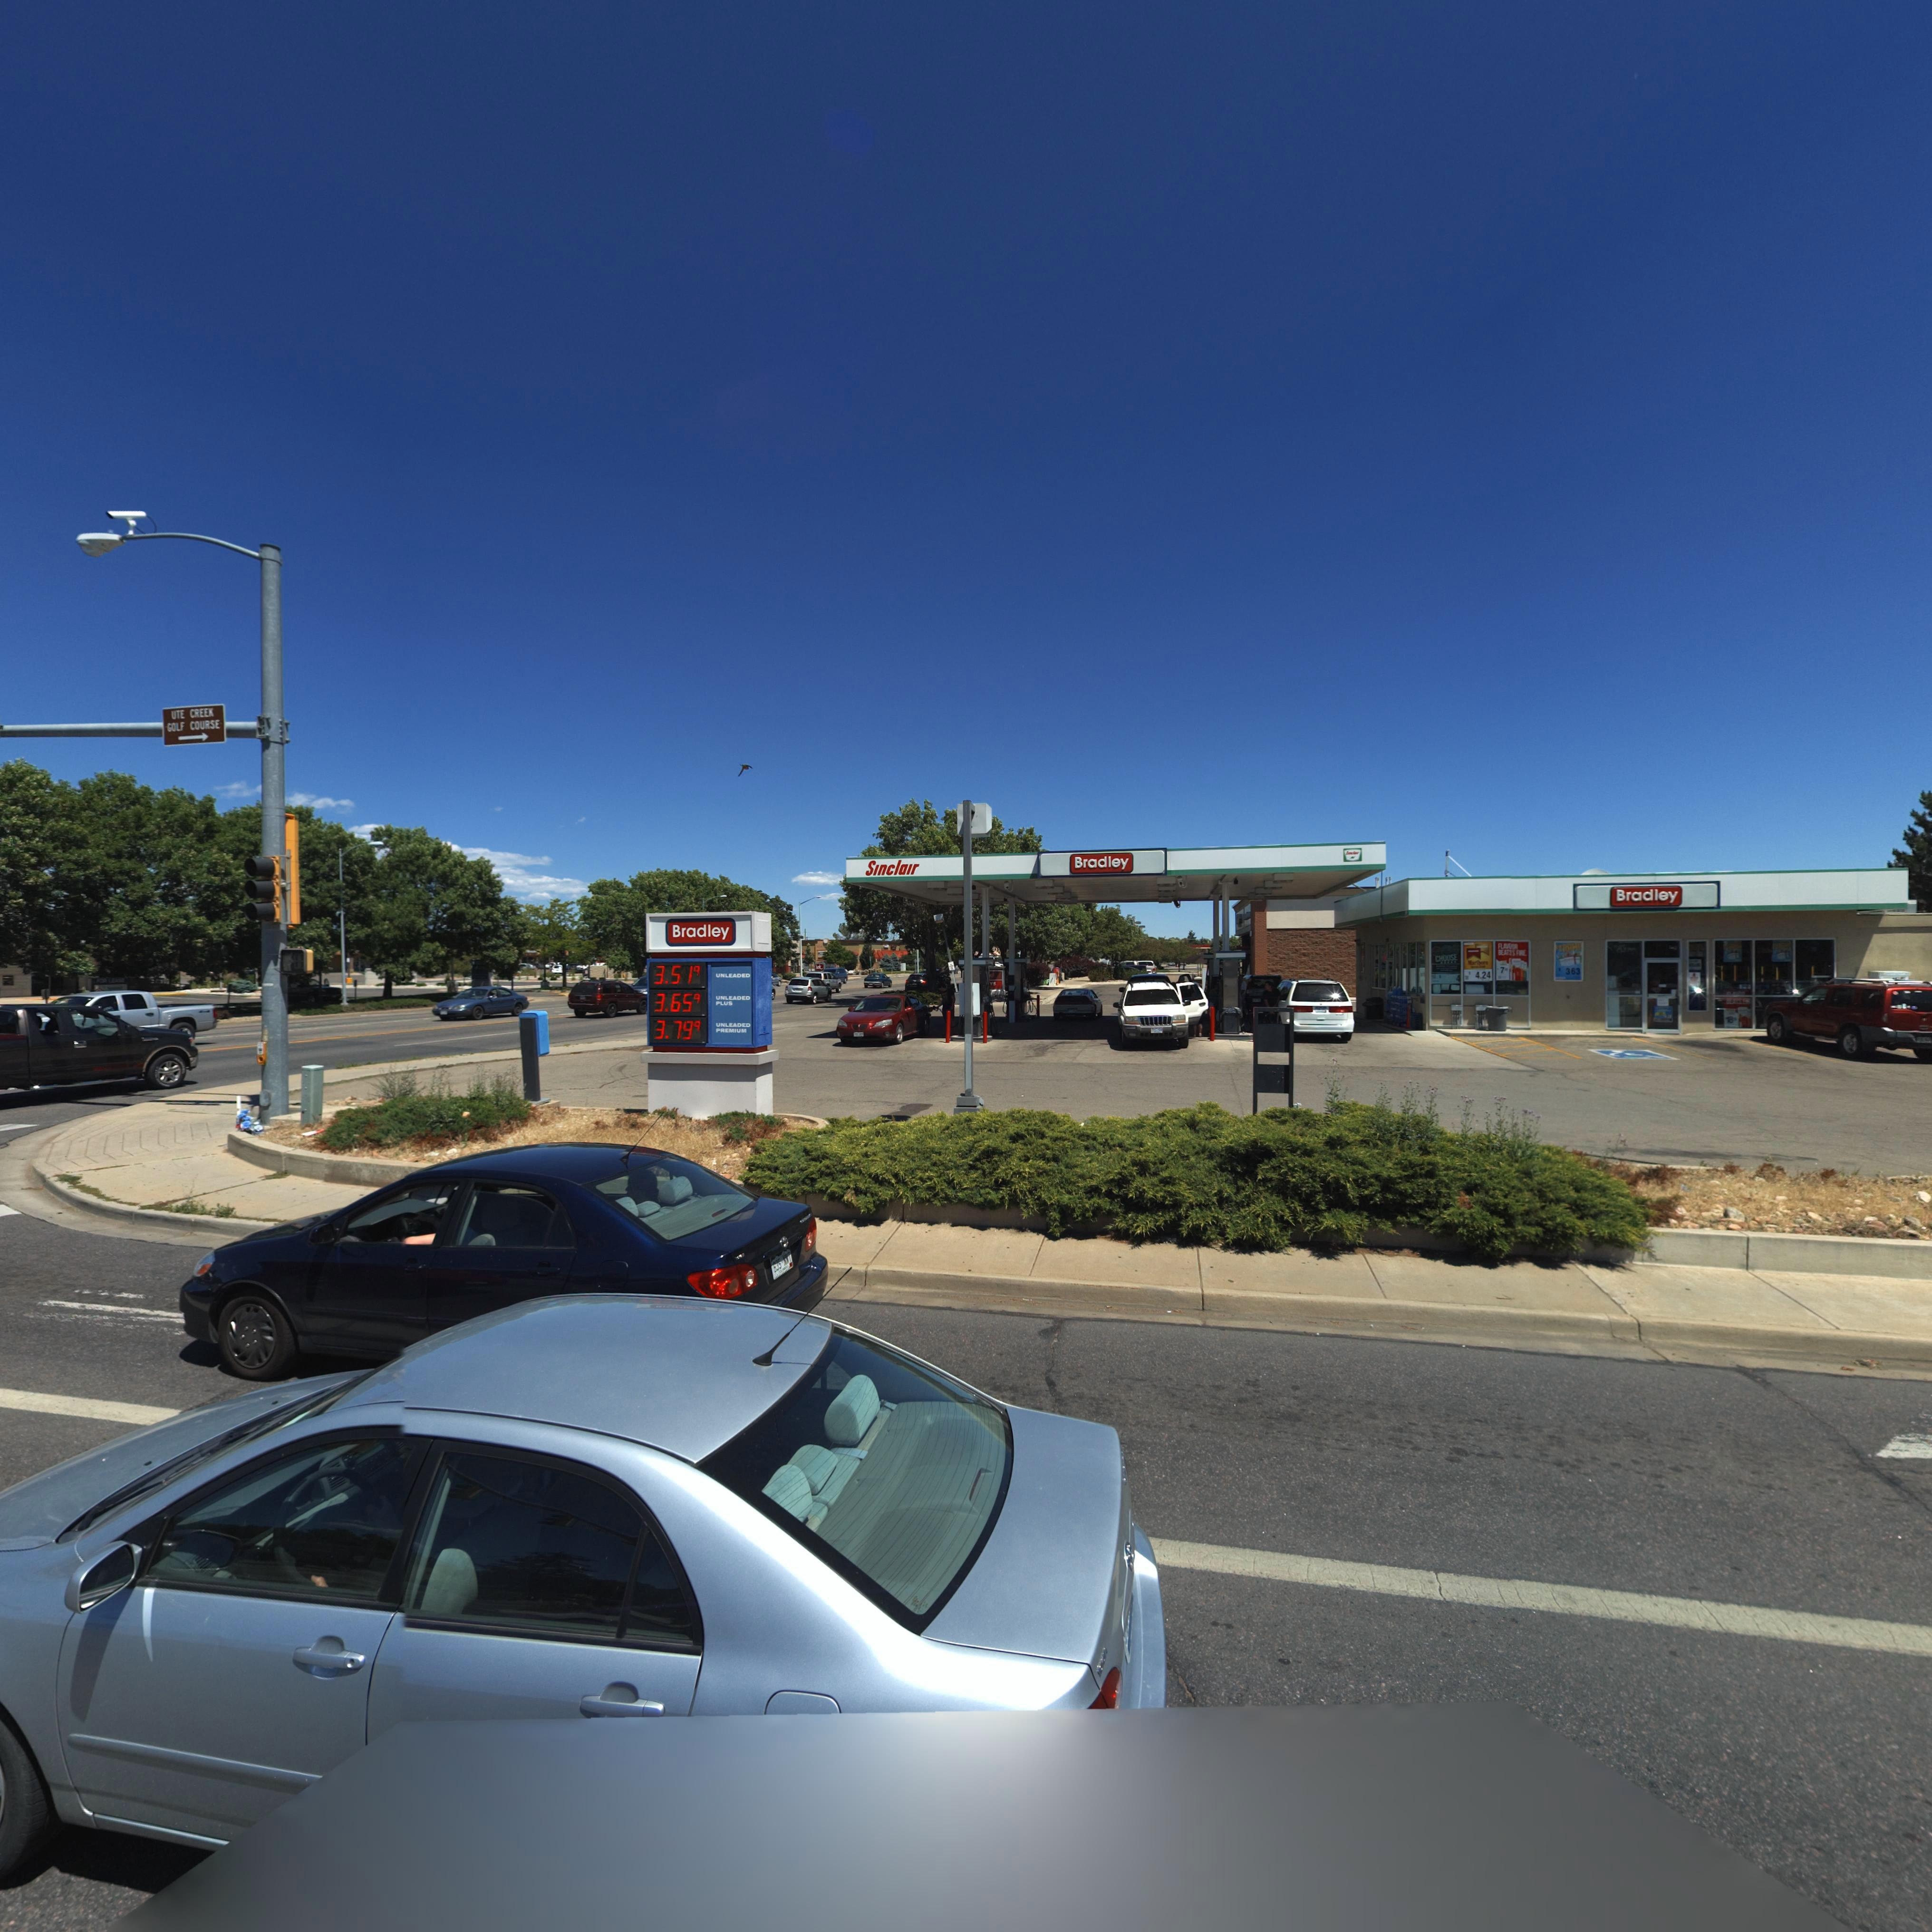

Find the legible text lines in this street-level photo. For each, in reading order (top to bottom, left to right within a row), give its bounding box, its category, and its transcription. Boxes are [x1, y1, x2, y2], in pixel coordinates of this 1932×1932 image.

[1345, 851, 1360, 855] BusinessName: S***l***
[864, 859, 921, 876] BusinessName: Sinclair
[1073, 855, 1130, 870] BusinessName: Bradley
[1615, 888, 1680, 904] BusinessName: Bradley
[672, 923, 730, 940] BusinessName: Bradley